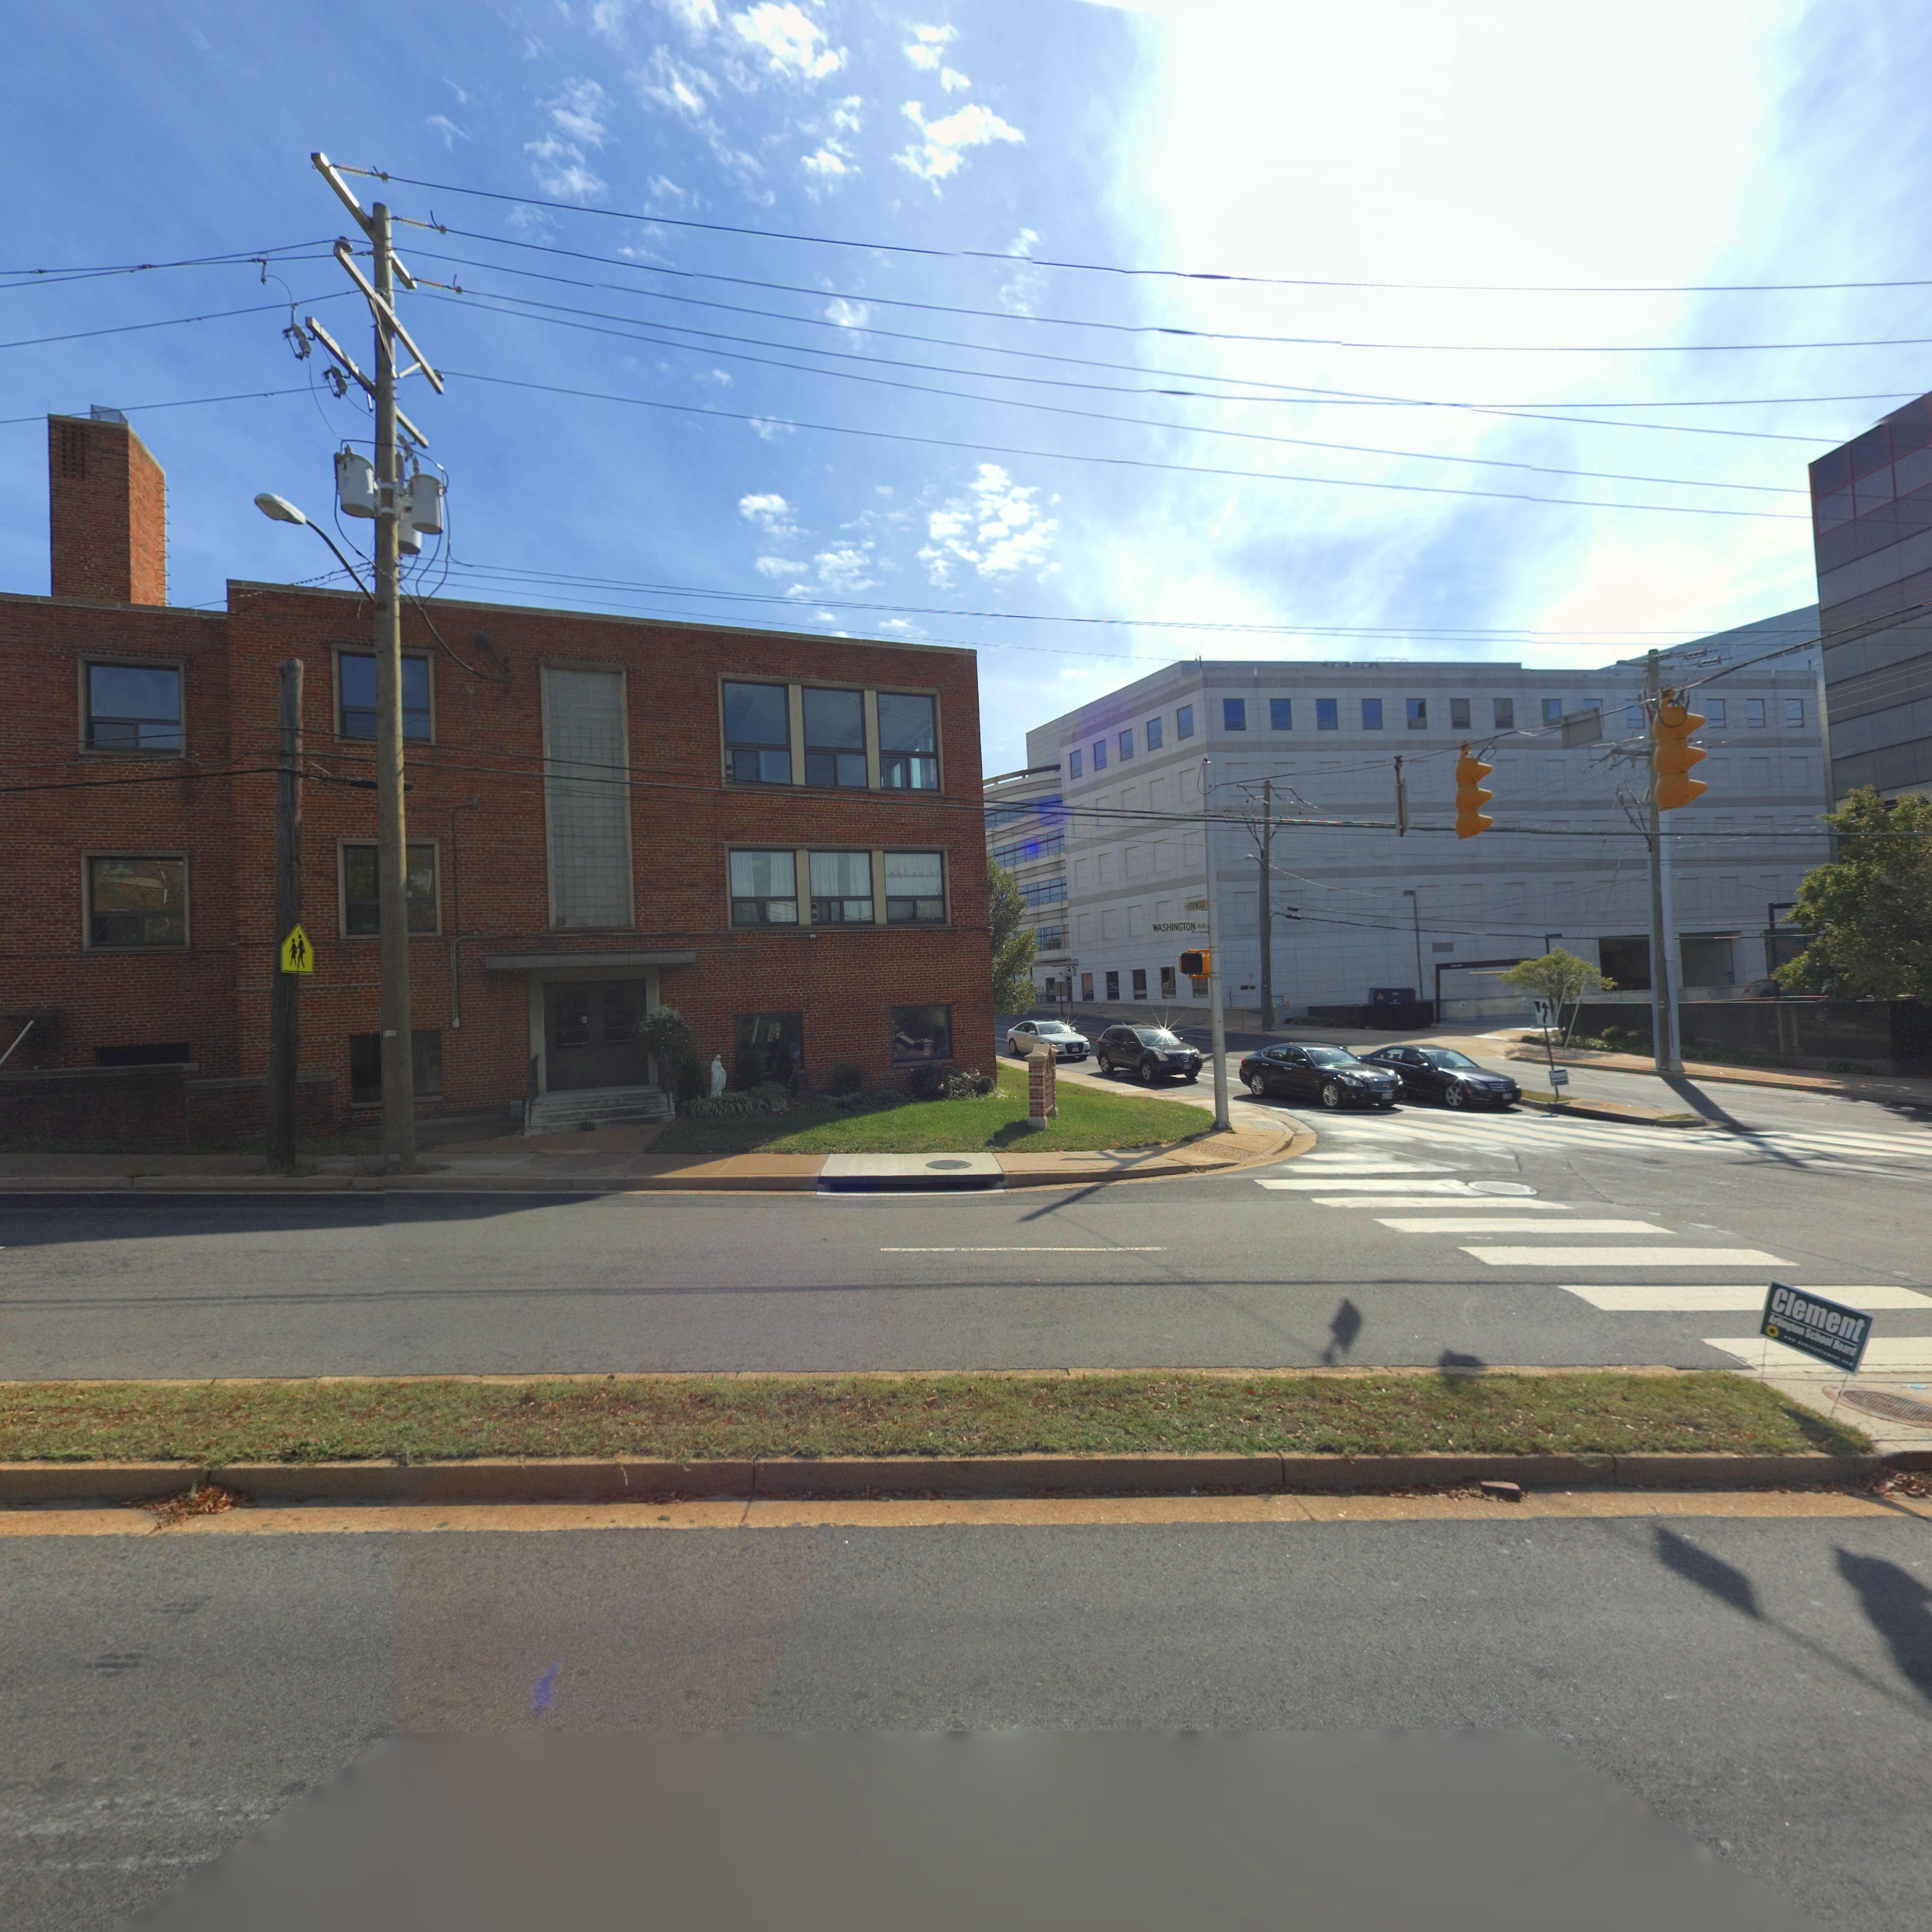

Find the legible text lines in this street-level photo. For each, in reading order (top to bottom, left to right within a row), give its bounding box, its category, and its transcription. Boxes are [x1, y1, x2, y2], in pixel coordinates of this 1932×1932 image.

[1152, 922, 1207, 932] StreetName: WASHINGTON BLVD
[1186, 899, 1206, 911] StreetName: KIRKWOOD
[1767, 1313, 1859, 1358] None: Arlington School Board
[1769, 1286, 1868, 1344] None: Clement